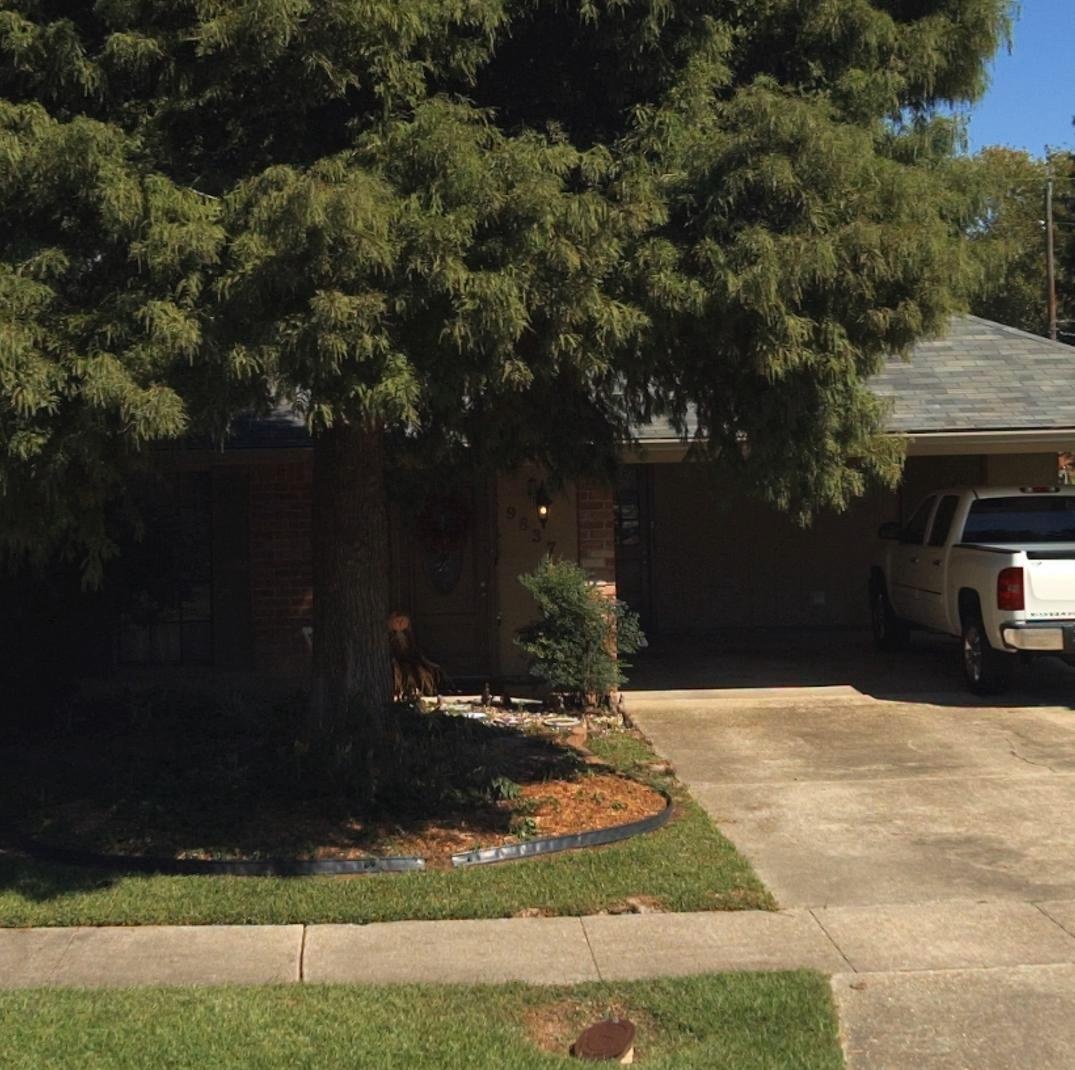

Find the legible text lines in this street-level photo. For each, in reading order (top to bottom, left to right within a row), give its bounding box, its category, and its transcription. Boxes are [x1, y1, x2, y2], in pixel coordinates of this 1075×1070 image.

[506, 504, 558, 559] StreetNumber: 9837